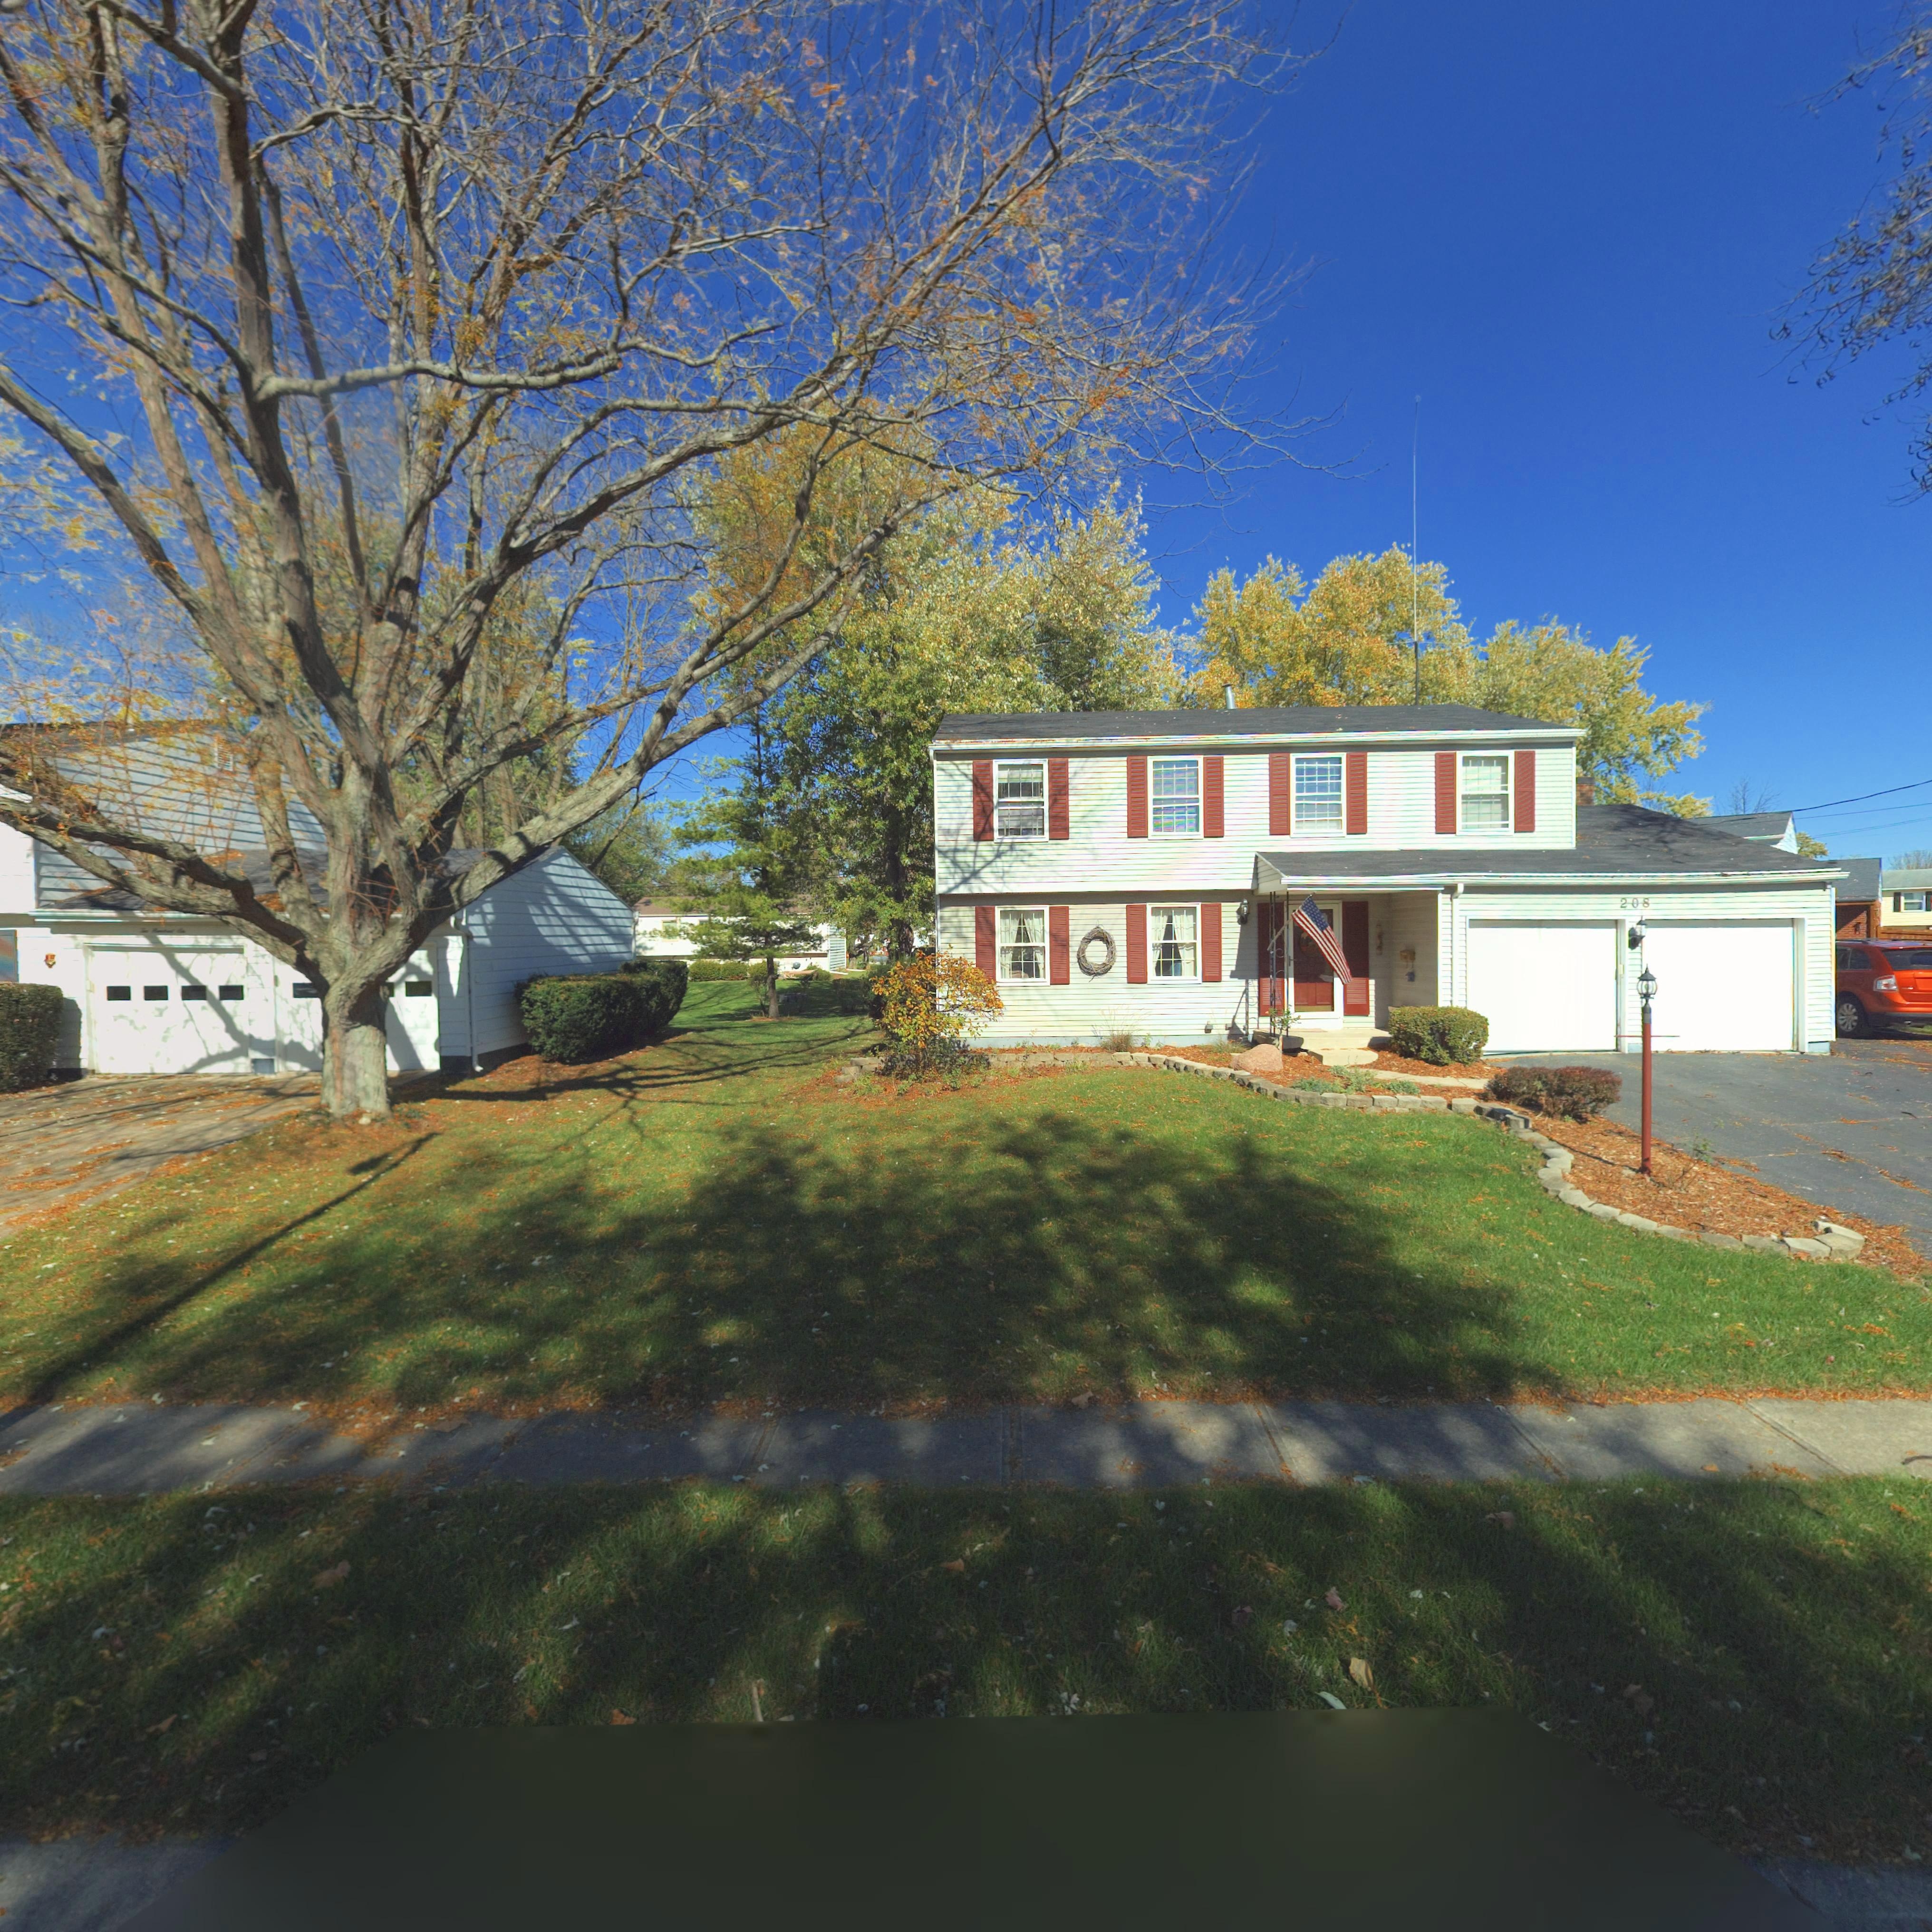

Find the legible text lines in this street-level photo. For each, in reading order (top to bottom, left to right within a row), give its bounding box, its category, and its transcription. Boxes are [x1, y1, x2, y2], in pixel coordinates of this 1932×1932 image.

[1619, 897, 1651, 909] StreetNumber: 208